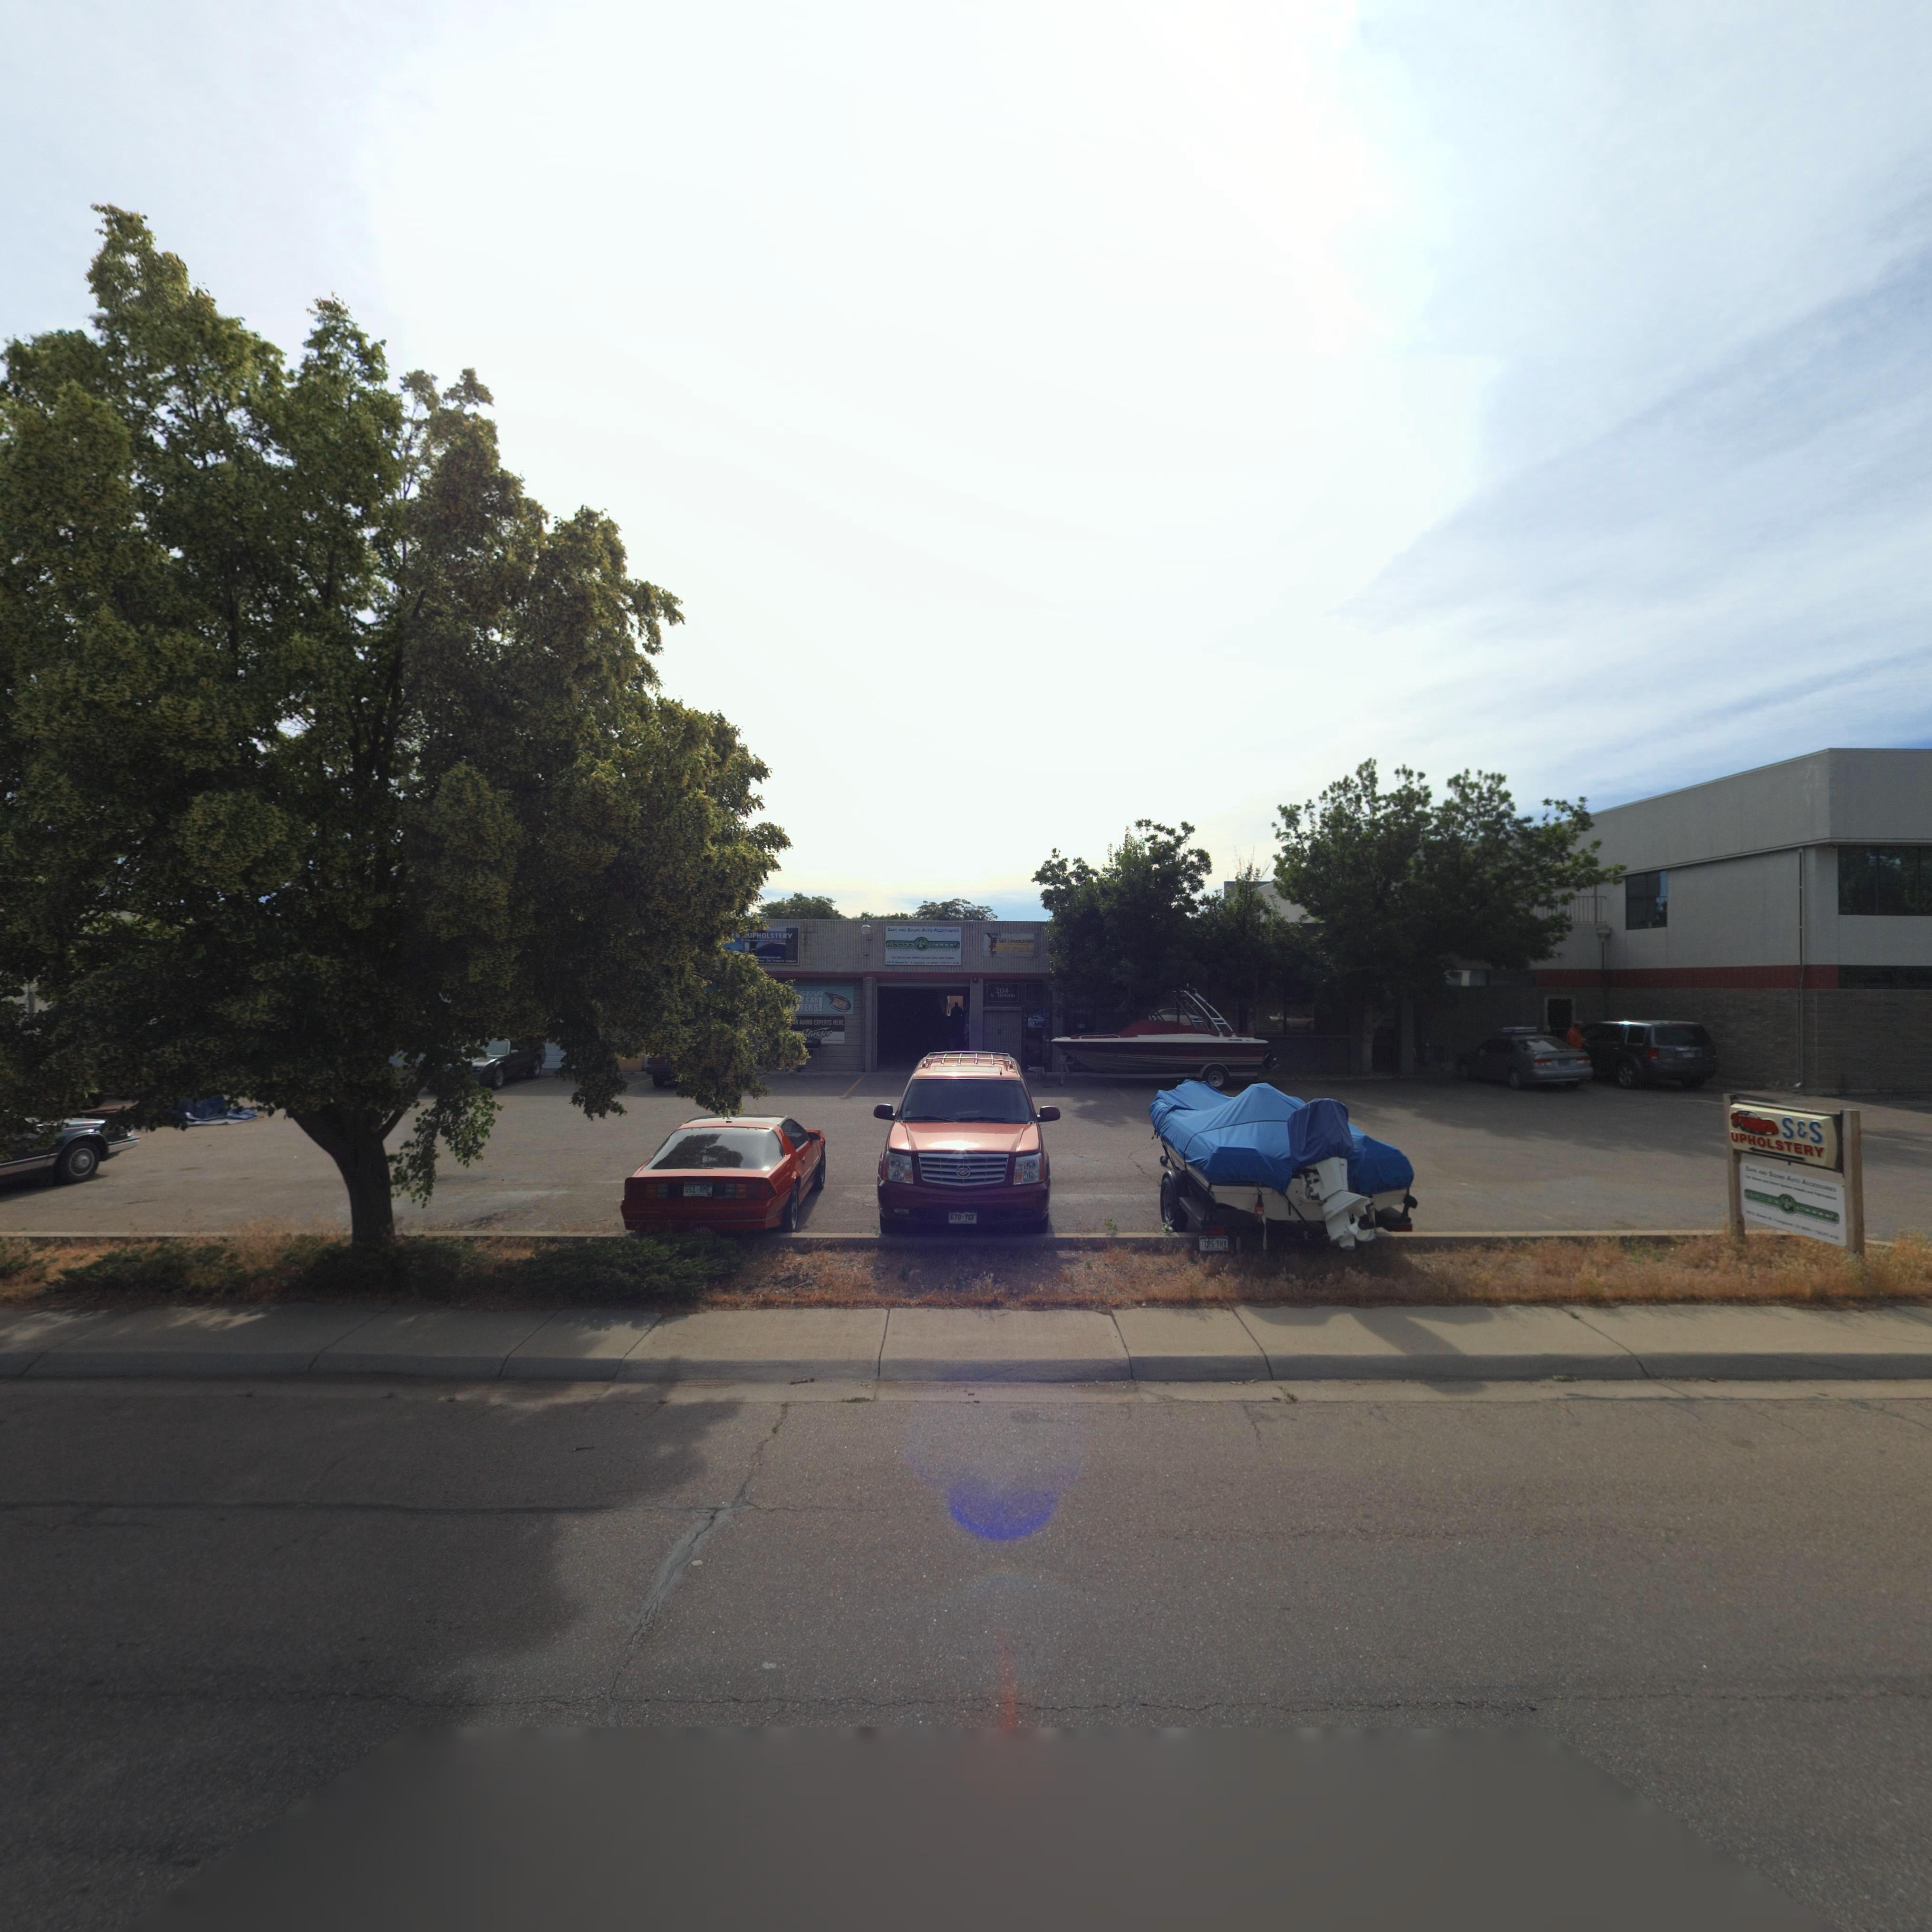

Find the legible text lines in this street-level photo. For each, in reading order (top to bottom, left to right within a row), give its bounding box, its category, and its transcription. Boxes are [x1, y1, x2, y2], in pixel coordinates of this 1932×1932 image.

[747, 931, 793, 939] BusinessName: UPHOLSTERY
[892, 938, 954, 949] BusinessName: SAFE * SOUND
[998, 938, 1035, 943] BusinessName: S * S UPHOLSTERY
[995, 986, 1010, 994] StreetNumber: 204
[1781, 1117, 1823, 1144] BusinessName: S * S
[1730, 1131, 1825, 1158] BusinessName: UPHOLSTERY